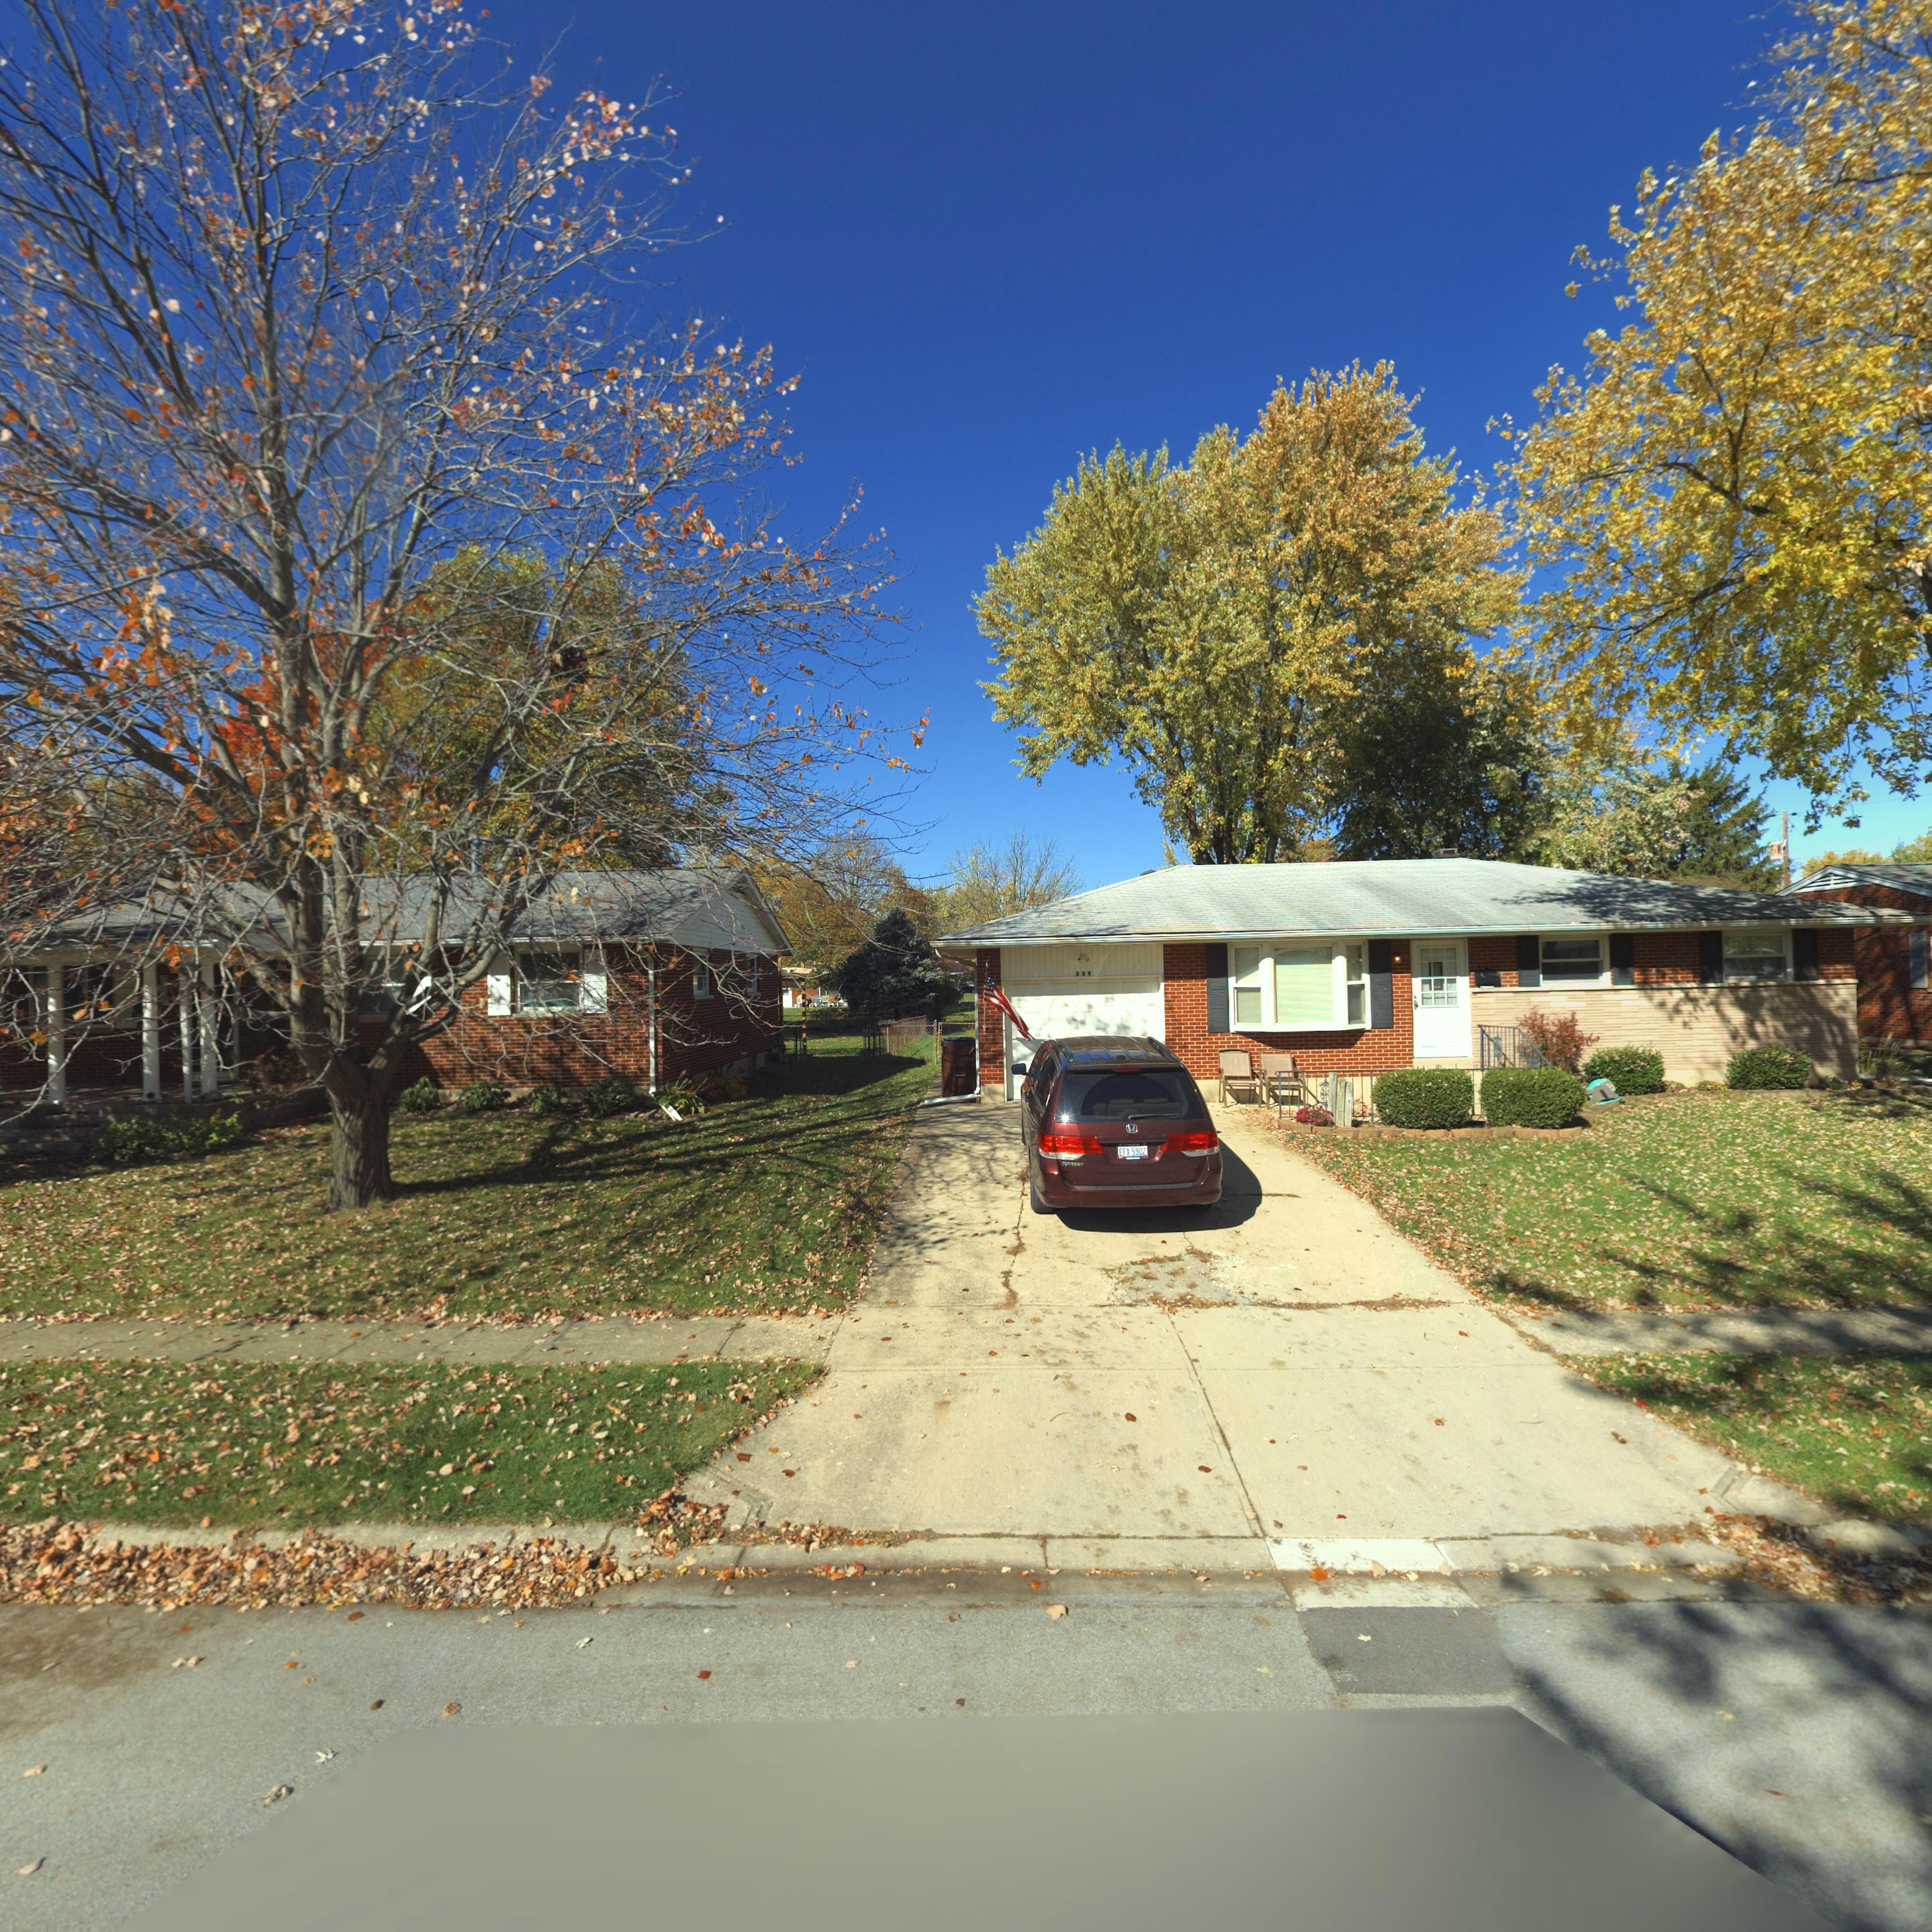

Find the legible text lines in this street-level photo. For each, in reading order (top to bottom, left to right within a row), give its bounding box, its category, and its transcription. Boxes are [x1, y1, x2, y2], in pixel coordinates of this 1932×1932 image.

[1074, 970, 1092, 977] StreetNumber: 309
[1119, 1147, 1147, 1156] None: EFX*5902
[1060, 1161, 1085, 1167] None: ODYSSEY